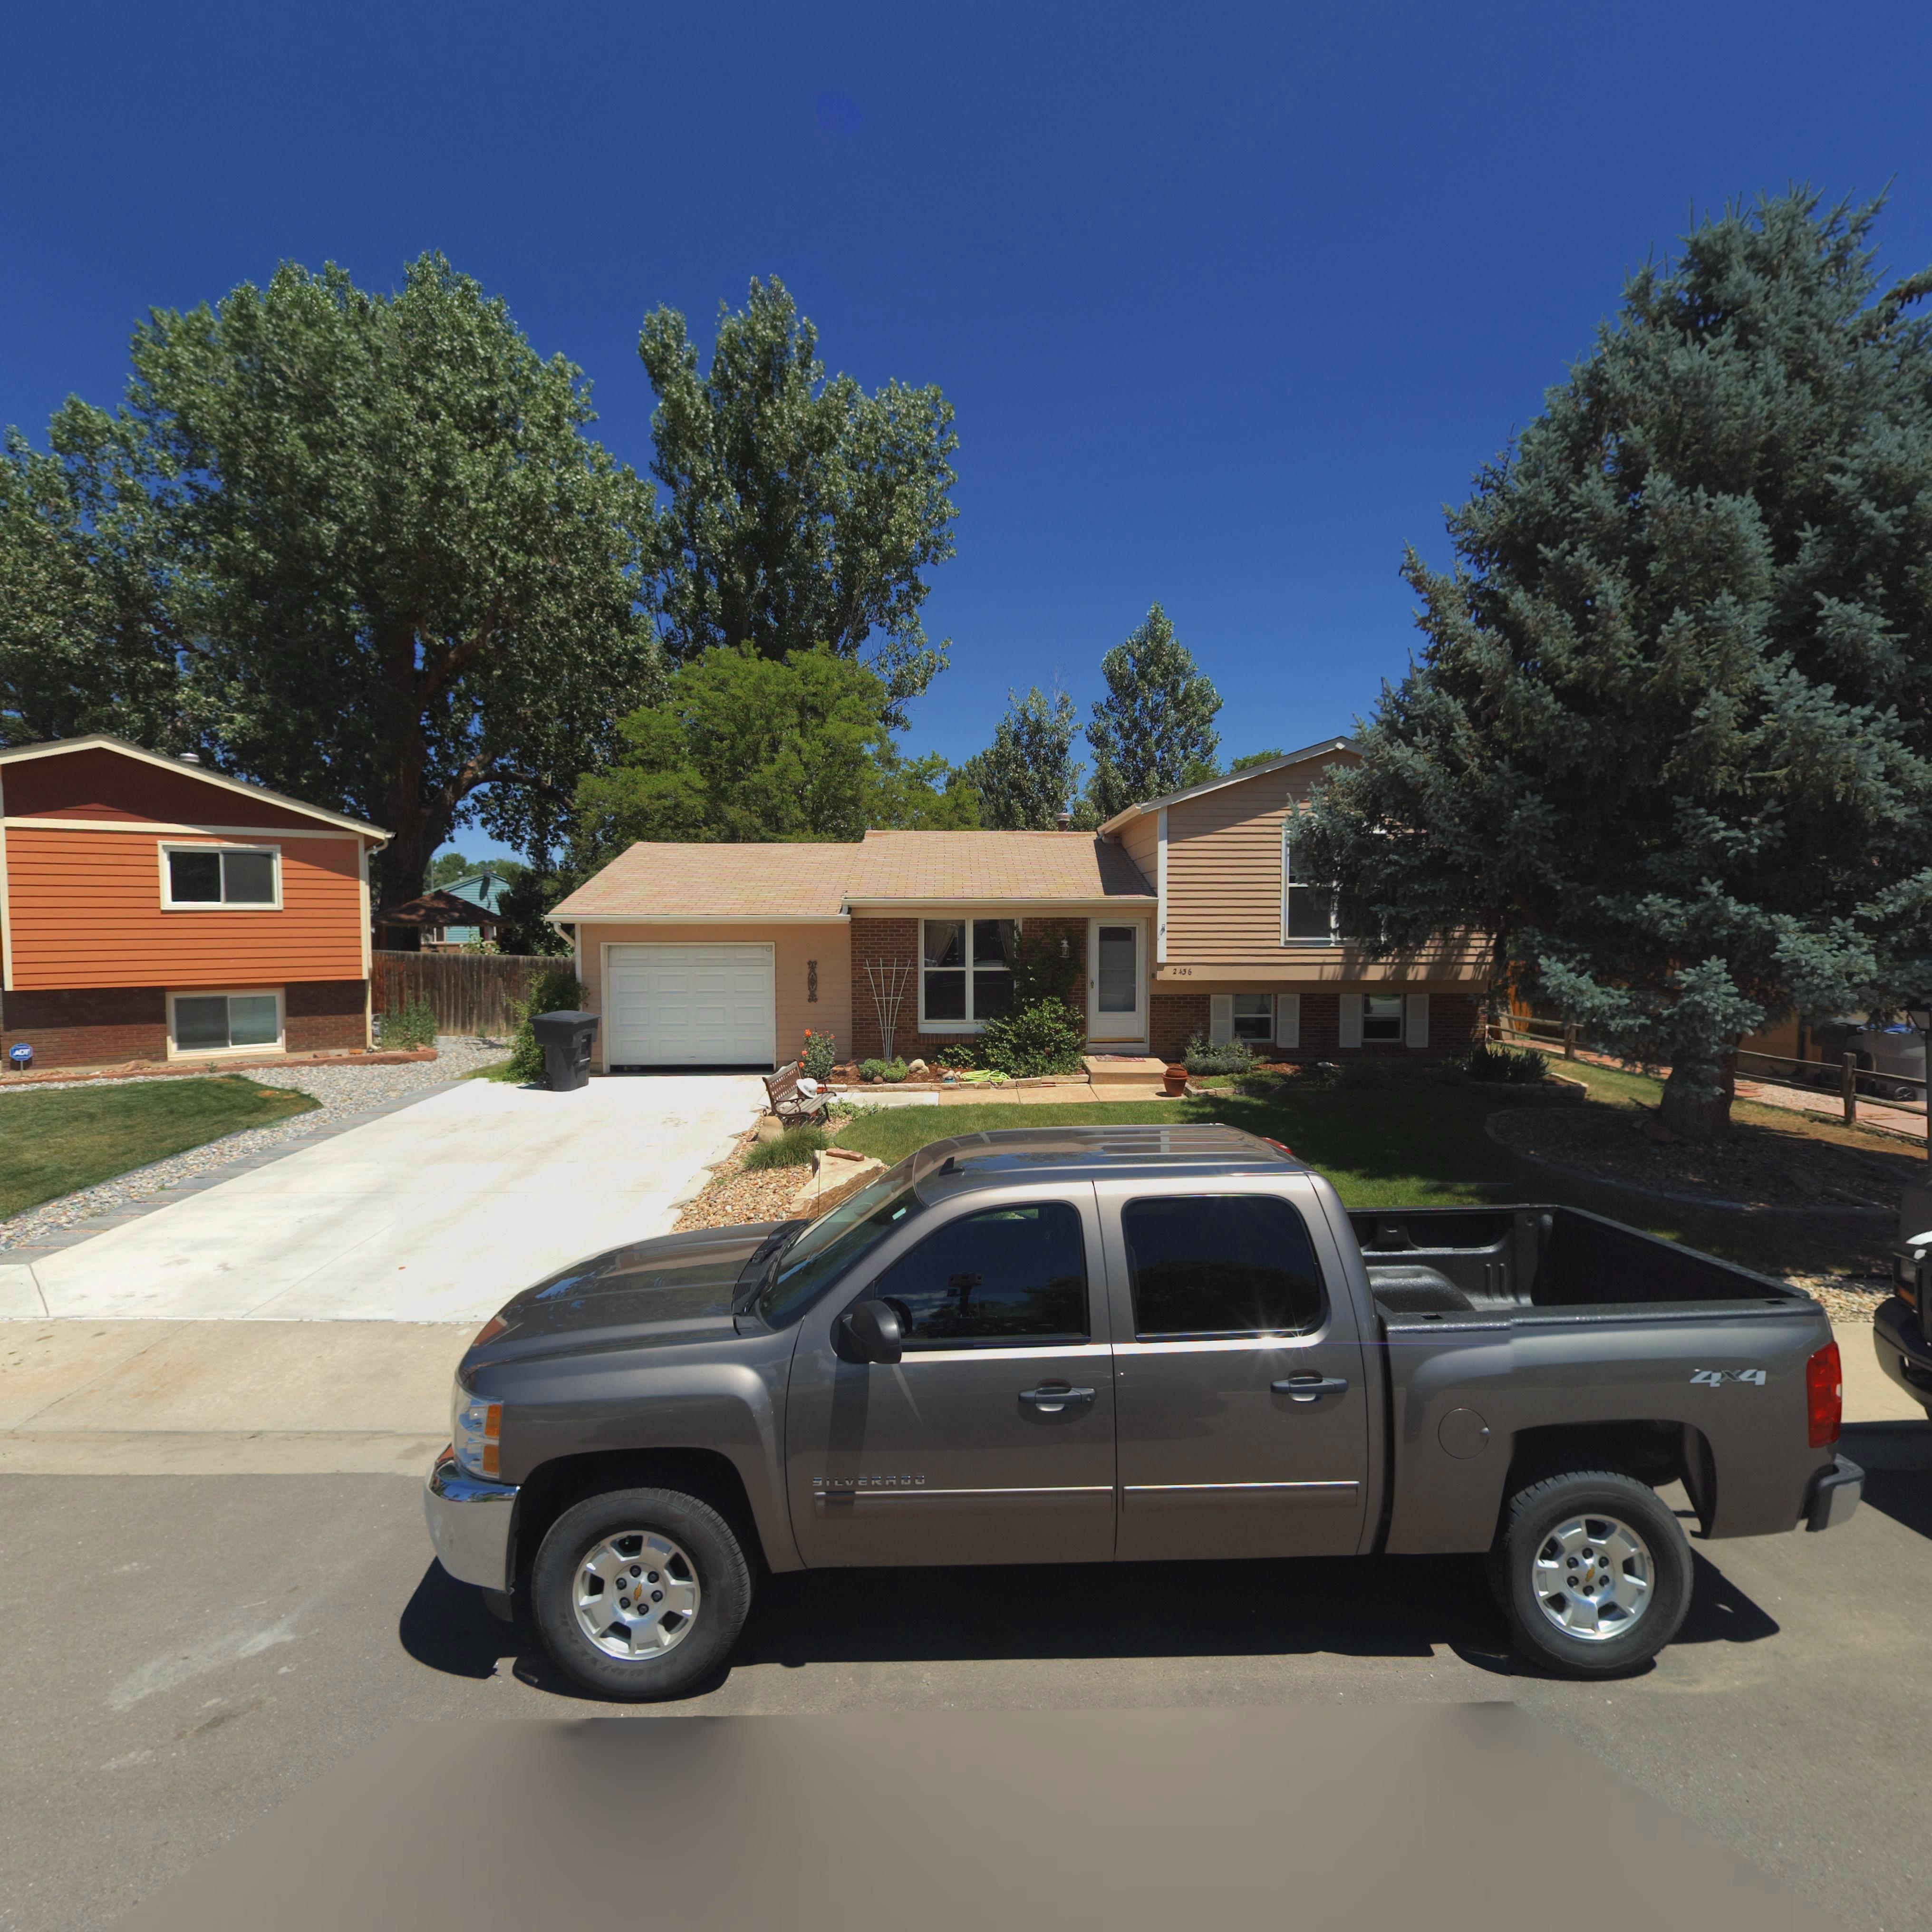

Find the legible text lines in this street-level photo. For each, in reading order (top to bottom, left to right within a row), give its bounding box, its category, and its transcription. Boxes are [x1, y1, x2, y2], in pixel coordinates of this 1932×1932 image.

[1172, 968, 1192, 976] StreetNumber: 2436